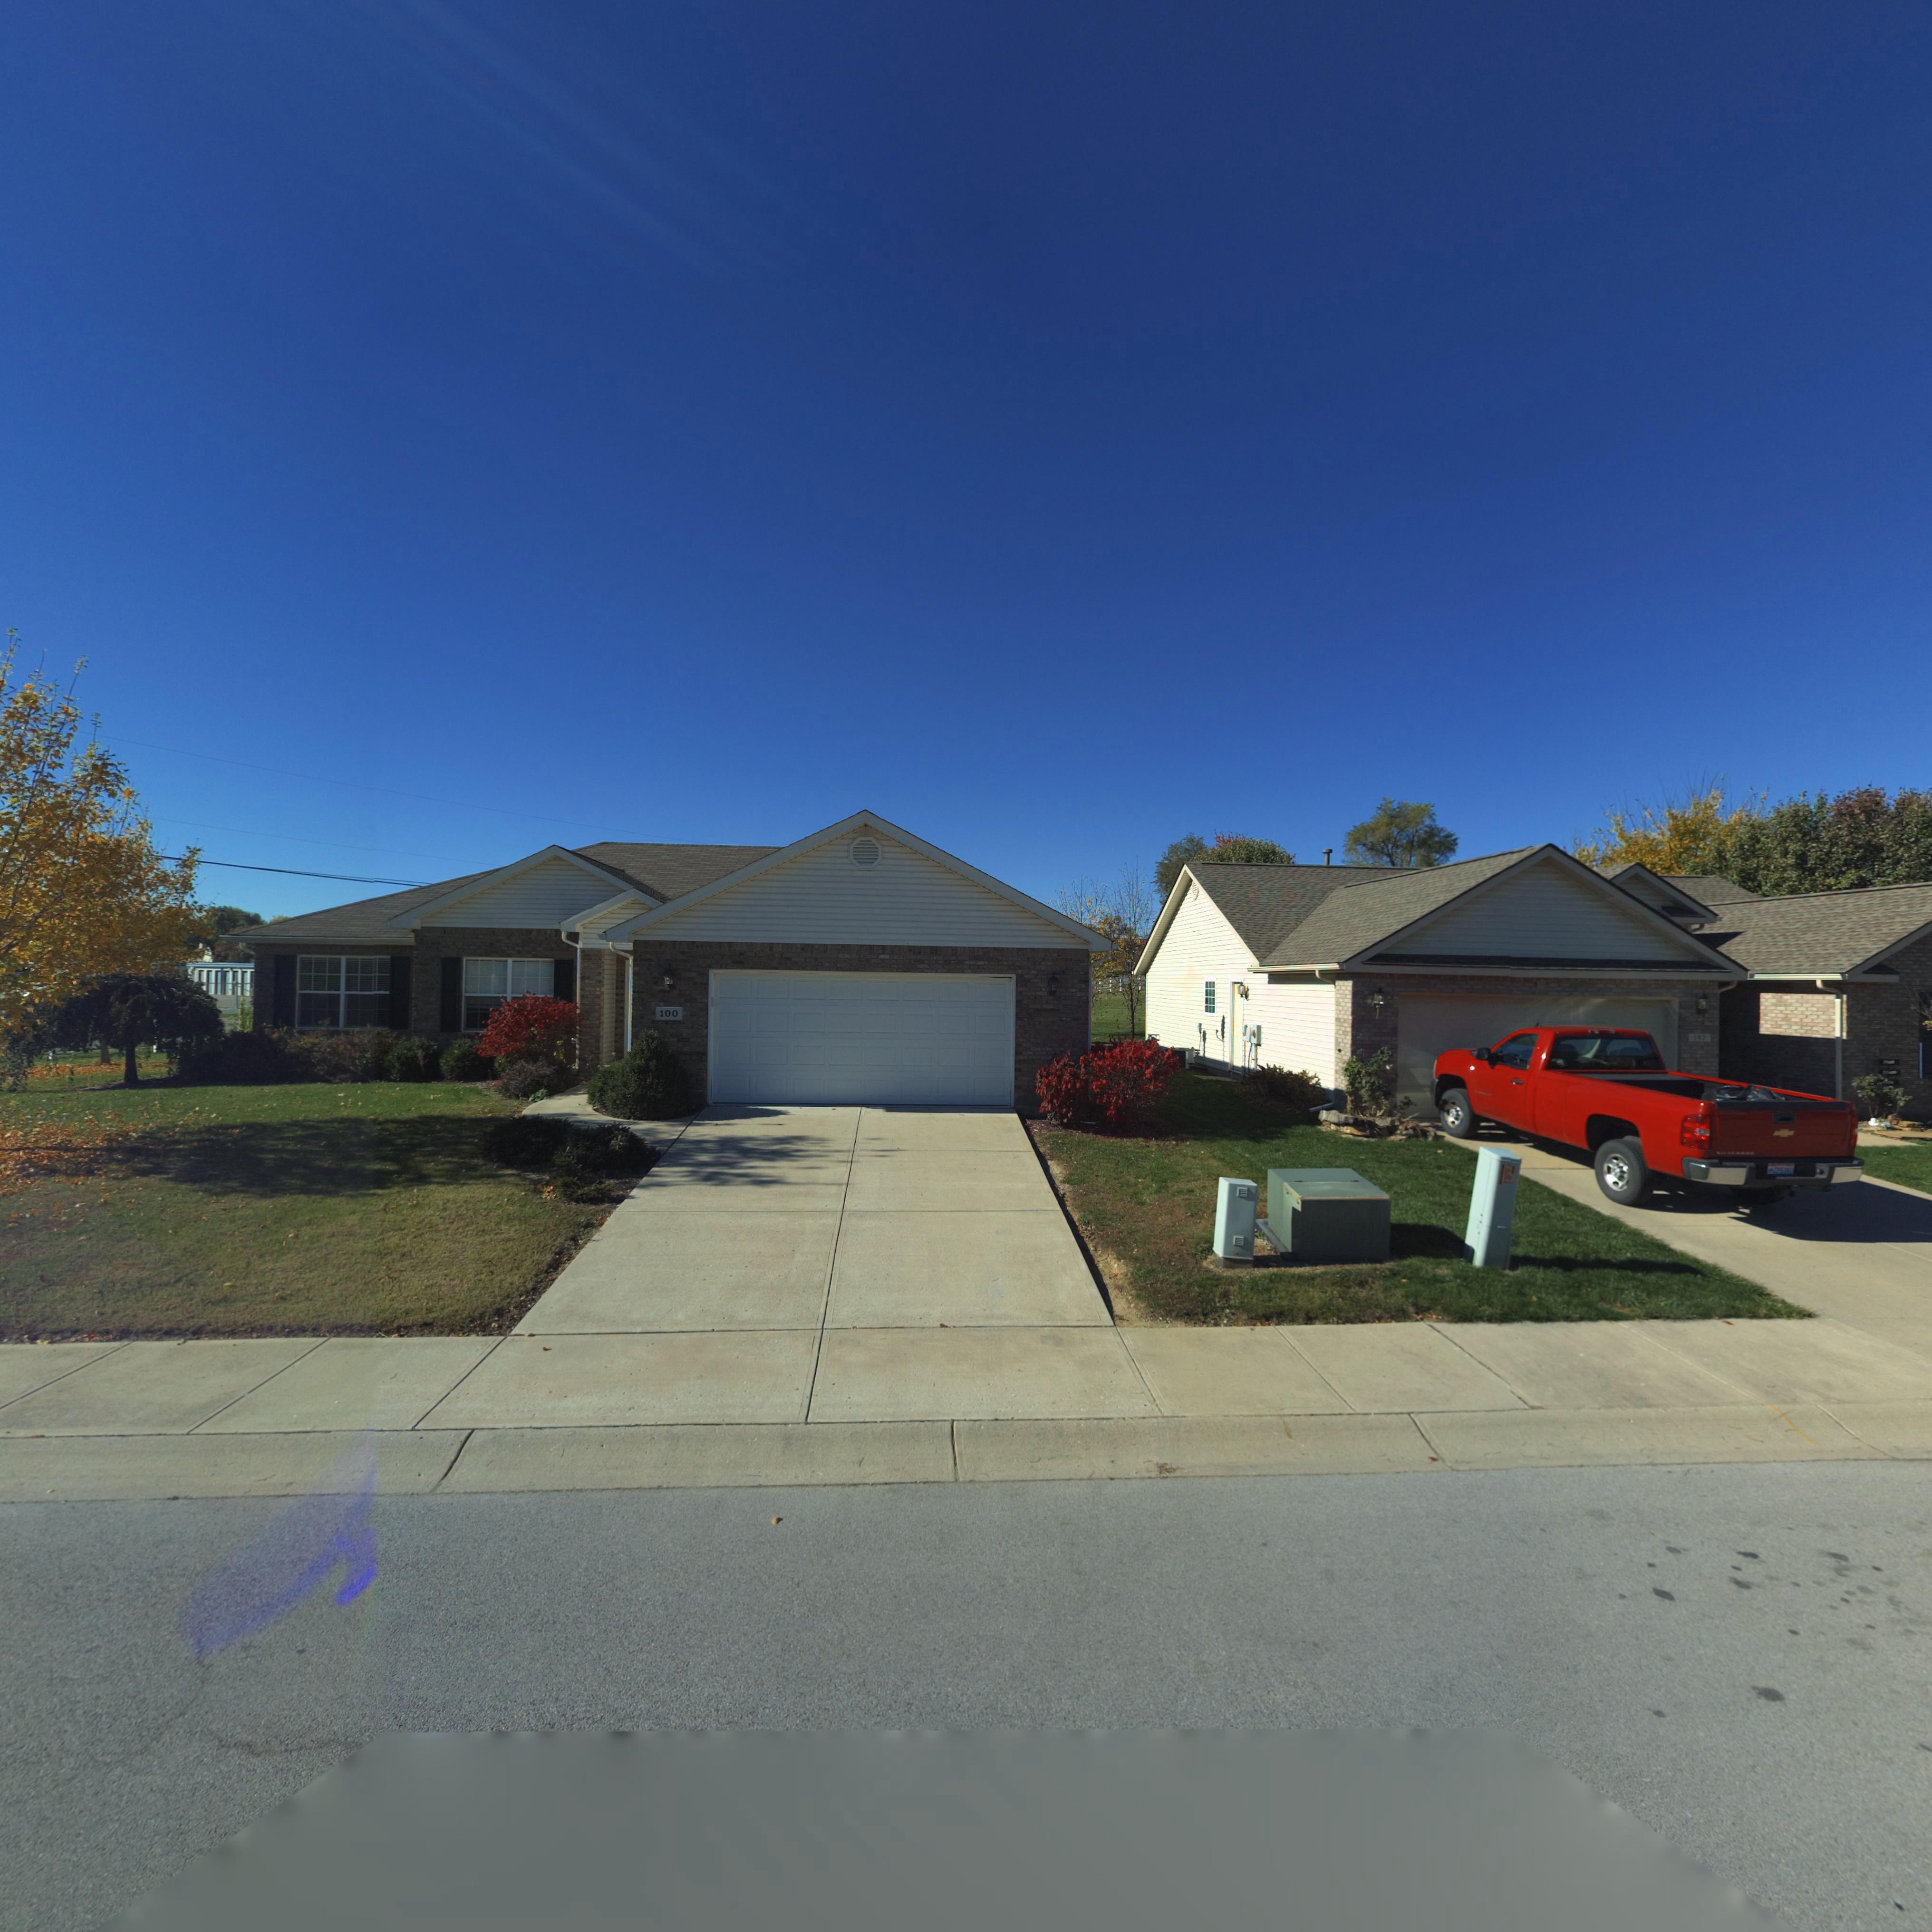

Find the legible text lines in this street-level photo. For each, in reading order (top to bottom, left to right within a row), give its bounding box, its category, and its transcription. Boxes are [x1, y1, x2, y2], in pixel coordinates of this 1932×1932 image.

[658, 1009, 680, 1018] StreetNumber: 100
[1692, 1032, 1708, 1042] StreetNumber: 102